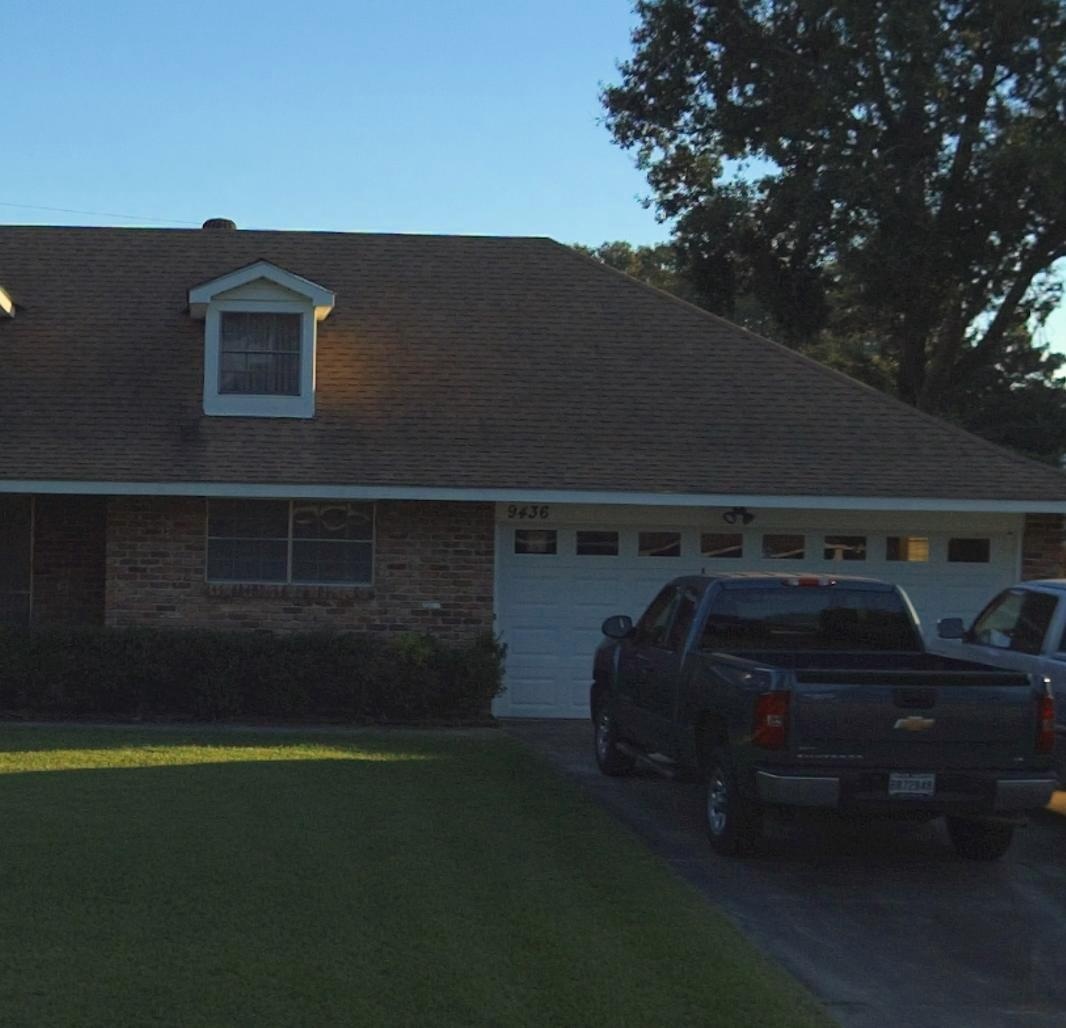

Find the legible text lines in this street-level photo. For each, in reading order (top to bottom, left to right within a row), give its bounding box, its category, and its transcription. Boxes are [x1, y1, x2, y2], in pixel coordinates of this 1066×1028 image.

[506, 504, 550, 520] StreetNumber: 9436
[901, 779, 916, 792] None: 72